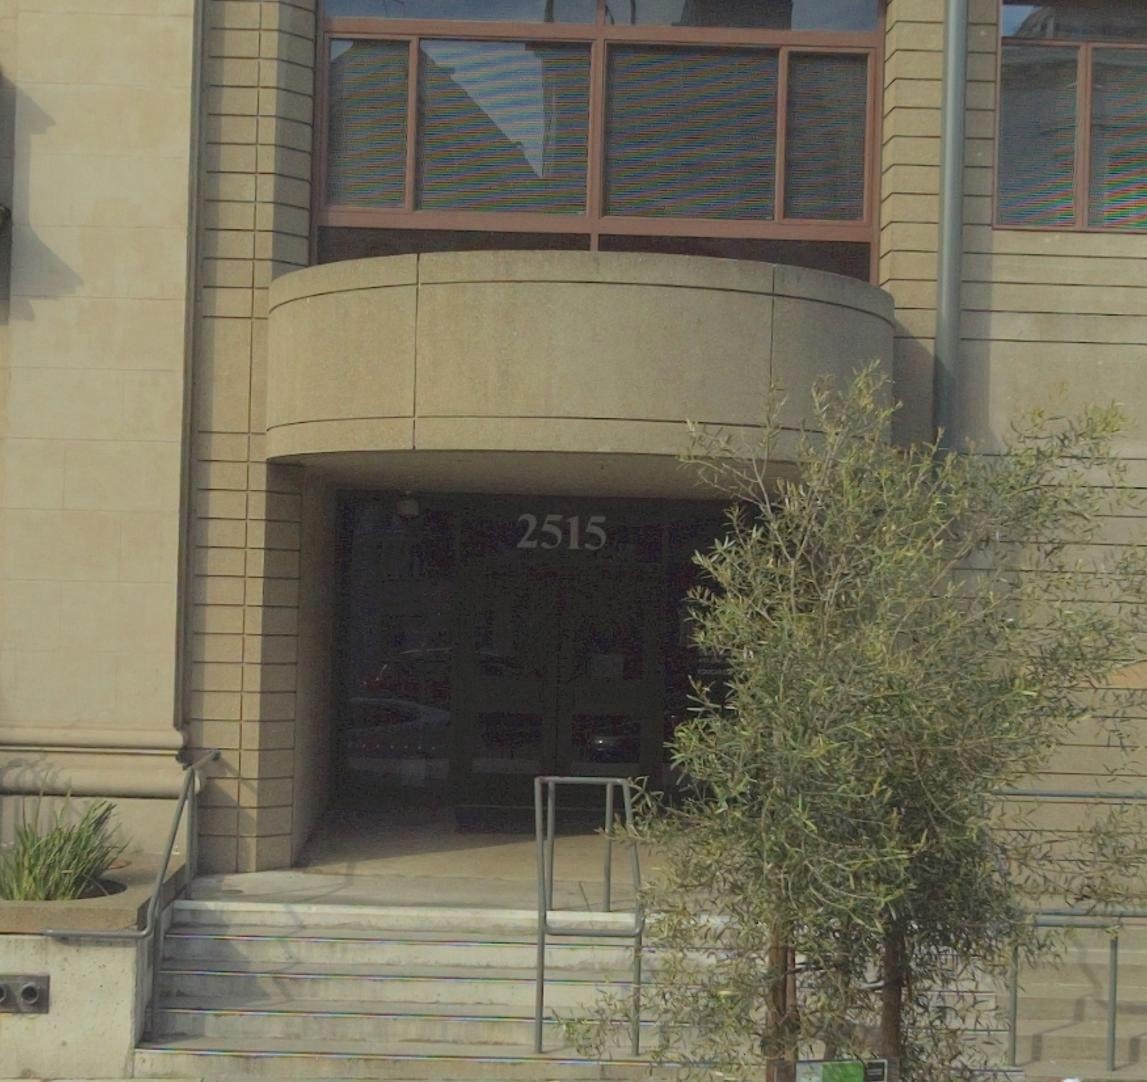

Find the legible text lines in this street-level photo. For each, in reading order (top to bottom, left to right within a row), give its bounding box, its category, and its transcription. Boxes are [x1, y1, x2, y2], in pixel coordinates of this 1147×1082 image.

[513, 510, 612, 554] StreetNumber: 2515